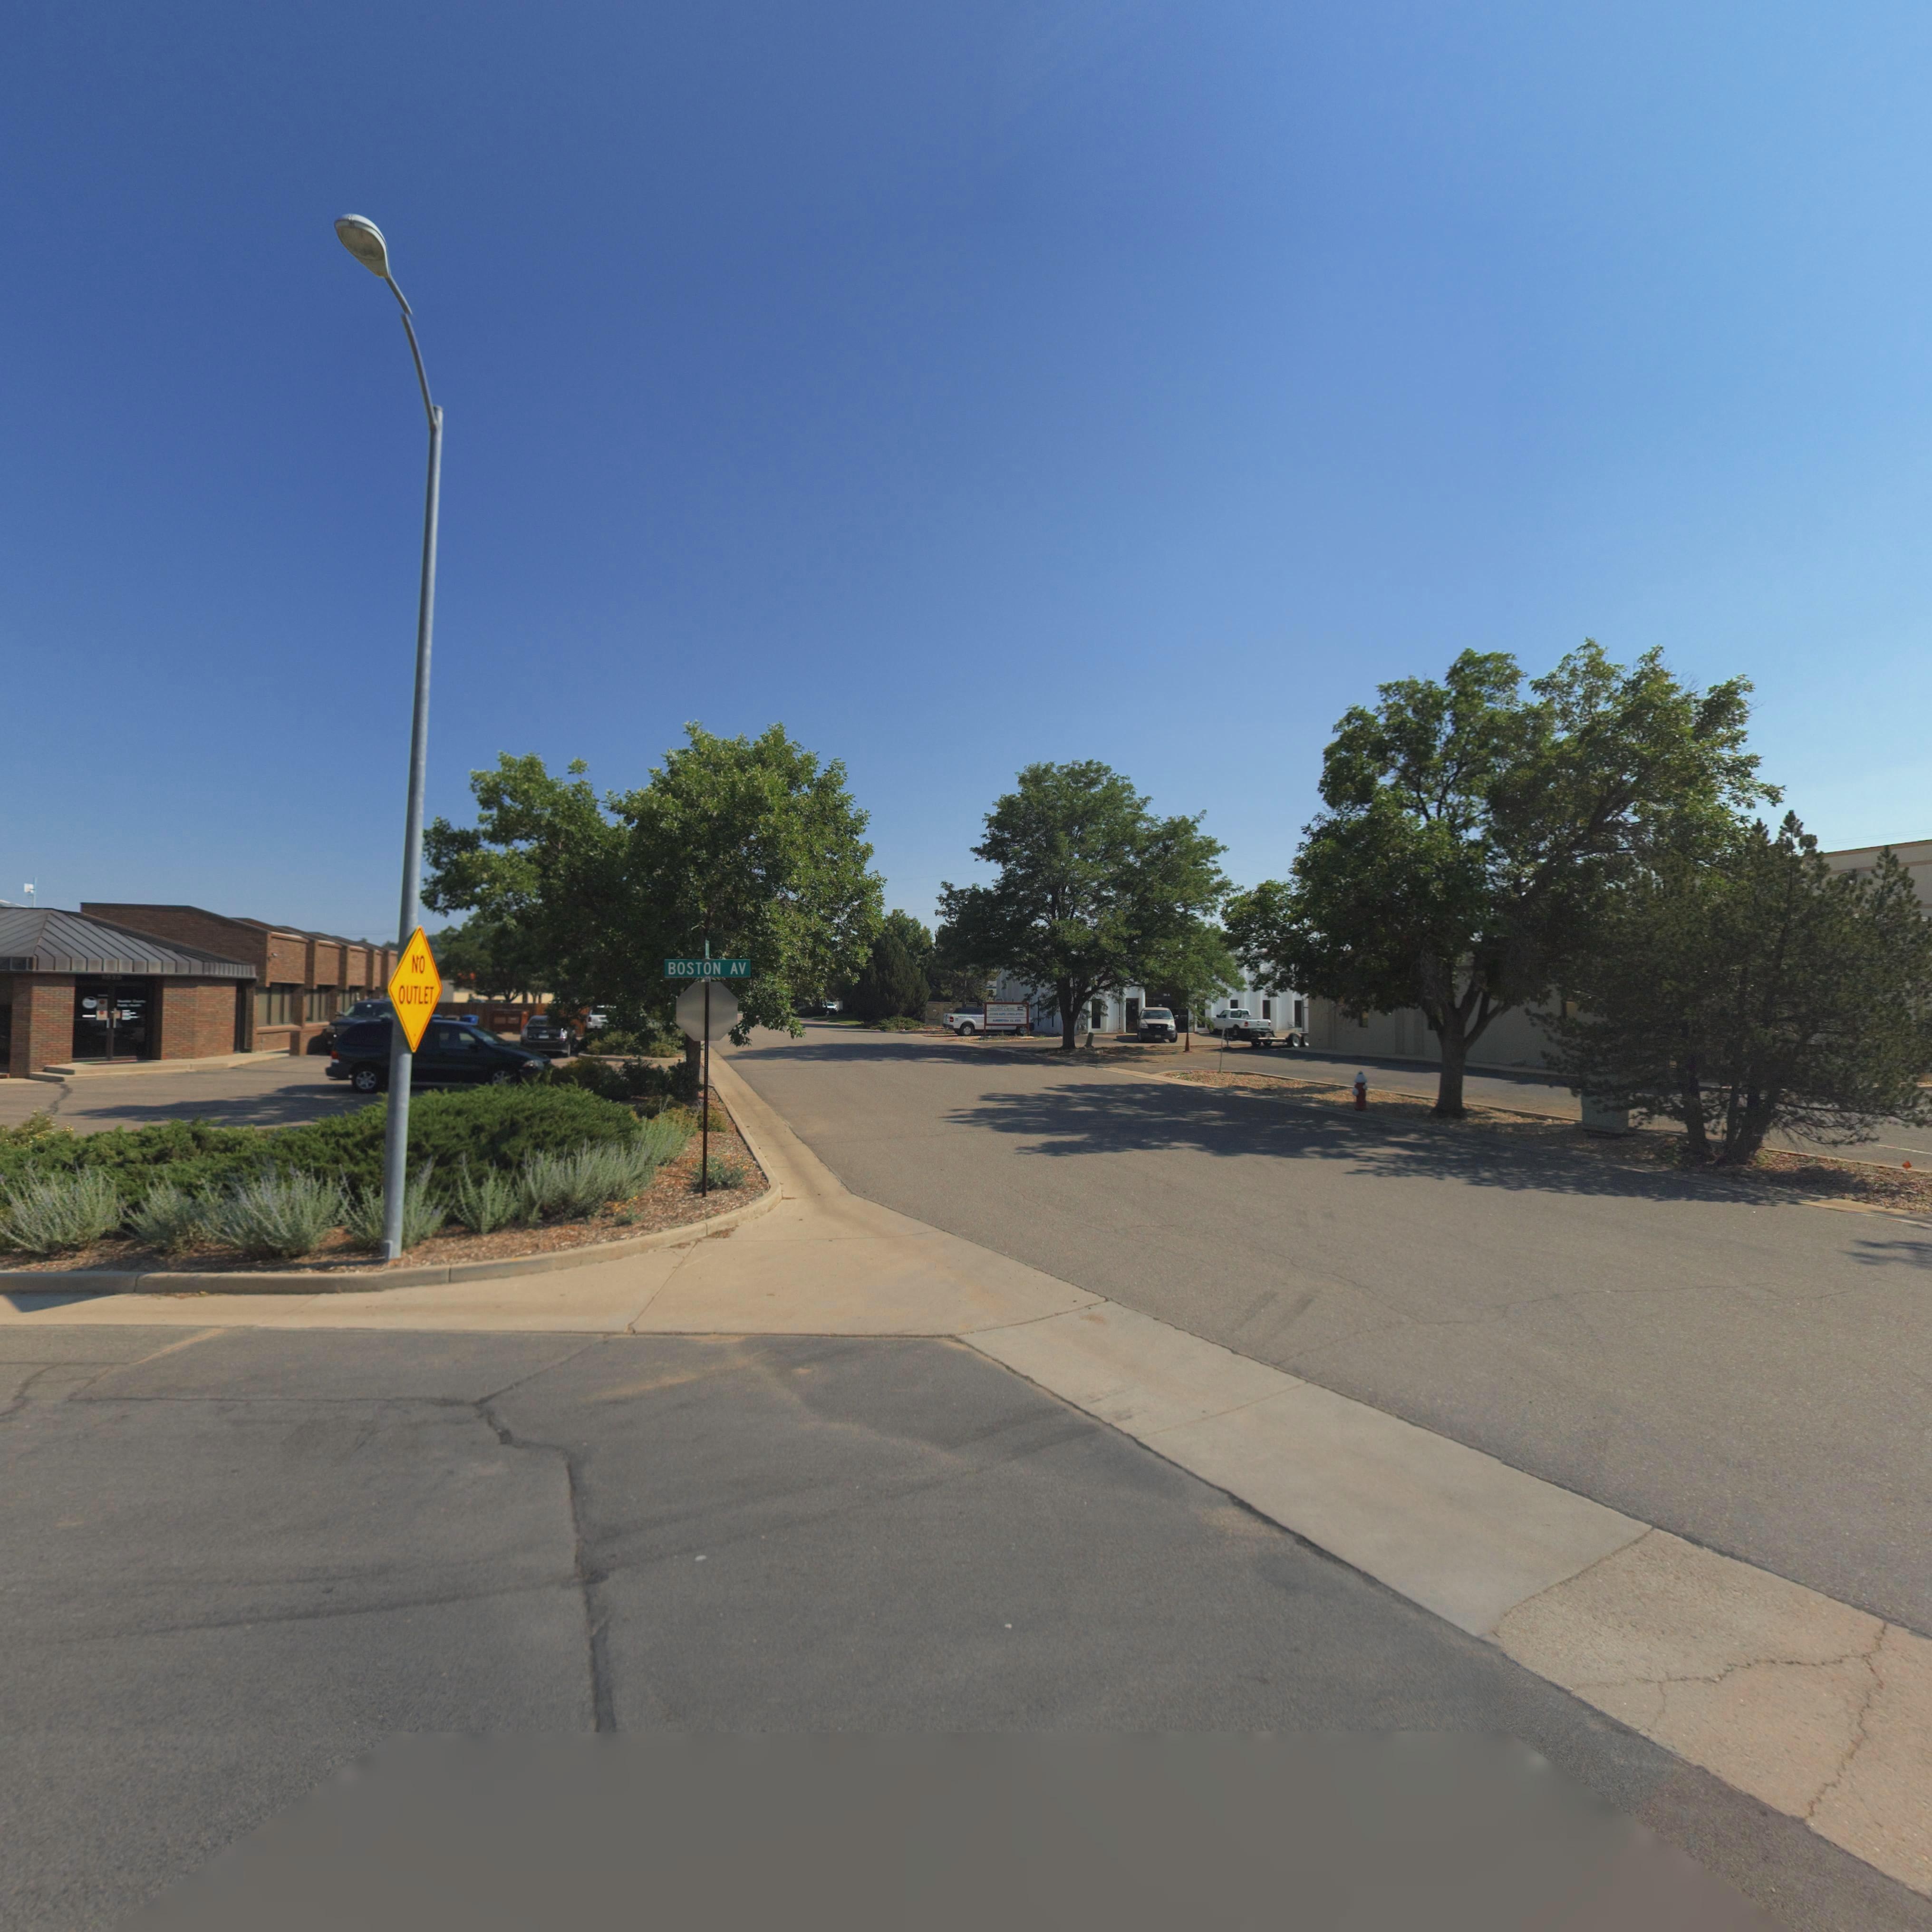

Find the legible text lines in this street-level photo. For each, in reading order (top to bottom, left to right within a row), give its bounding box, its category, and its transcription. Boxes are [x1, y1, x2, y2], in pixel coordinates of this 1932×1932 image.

[667, 961, 747, 975] StreetName: BOSTON AV
[100, 974, 123, 981] StreetNumber: *03*